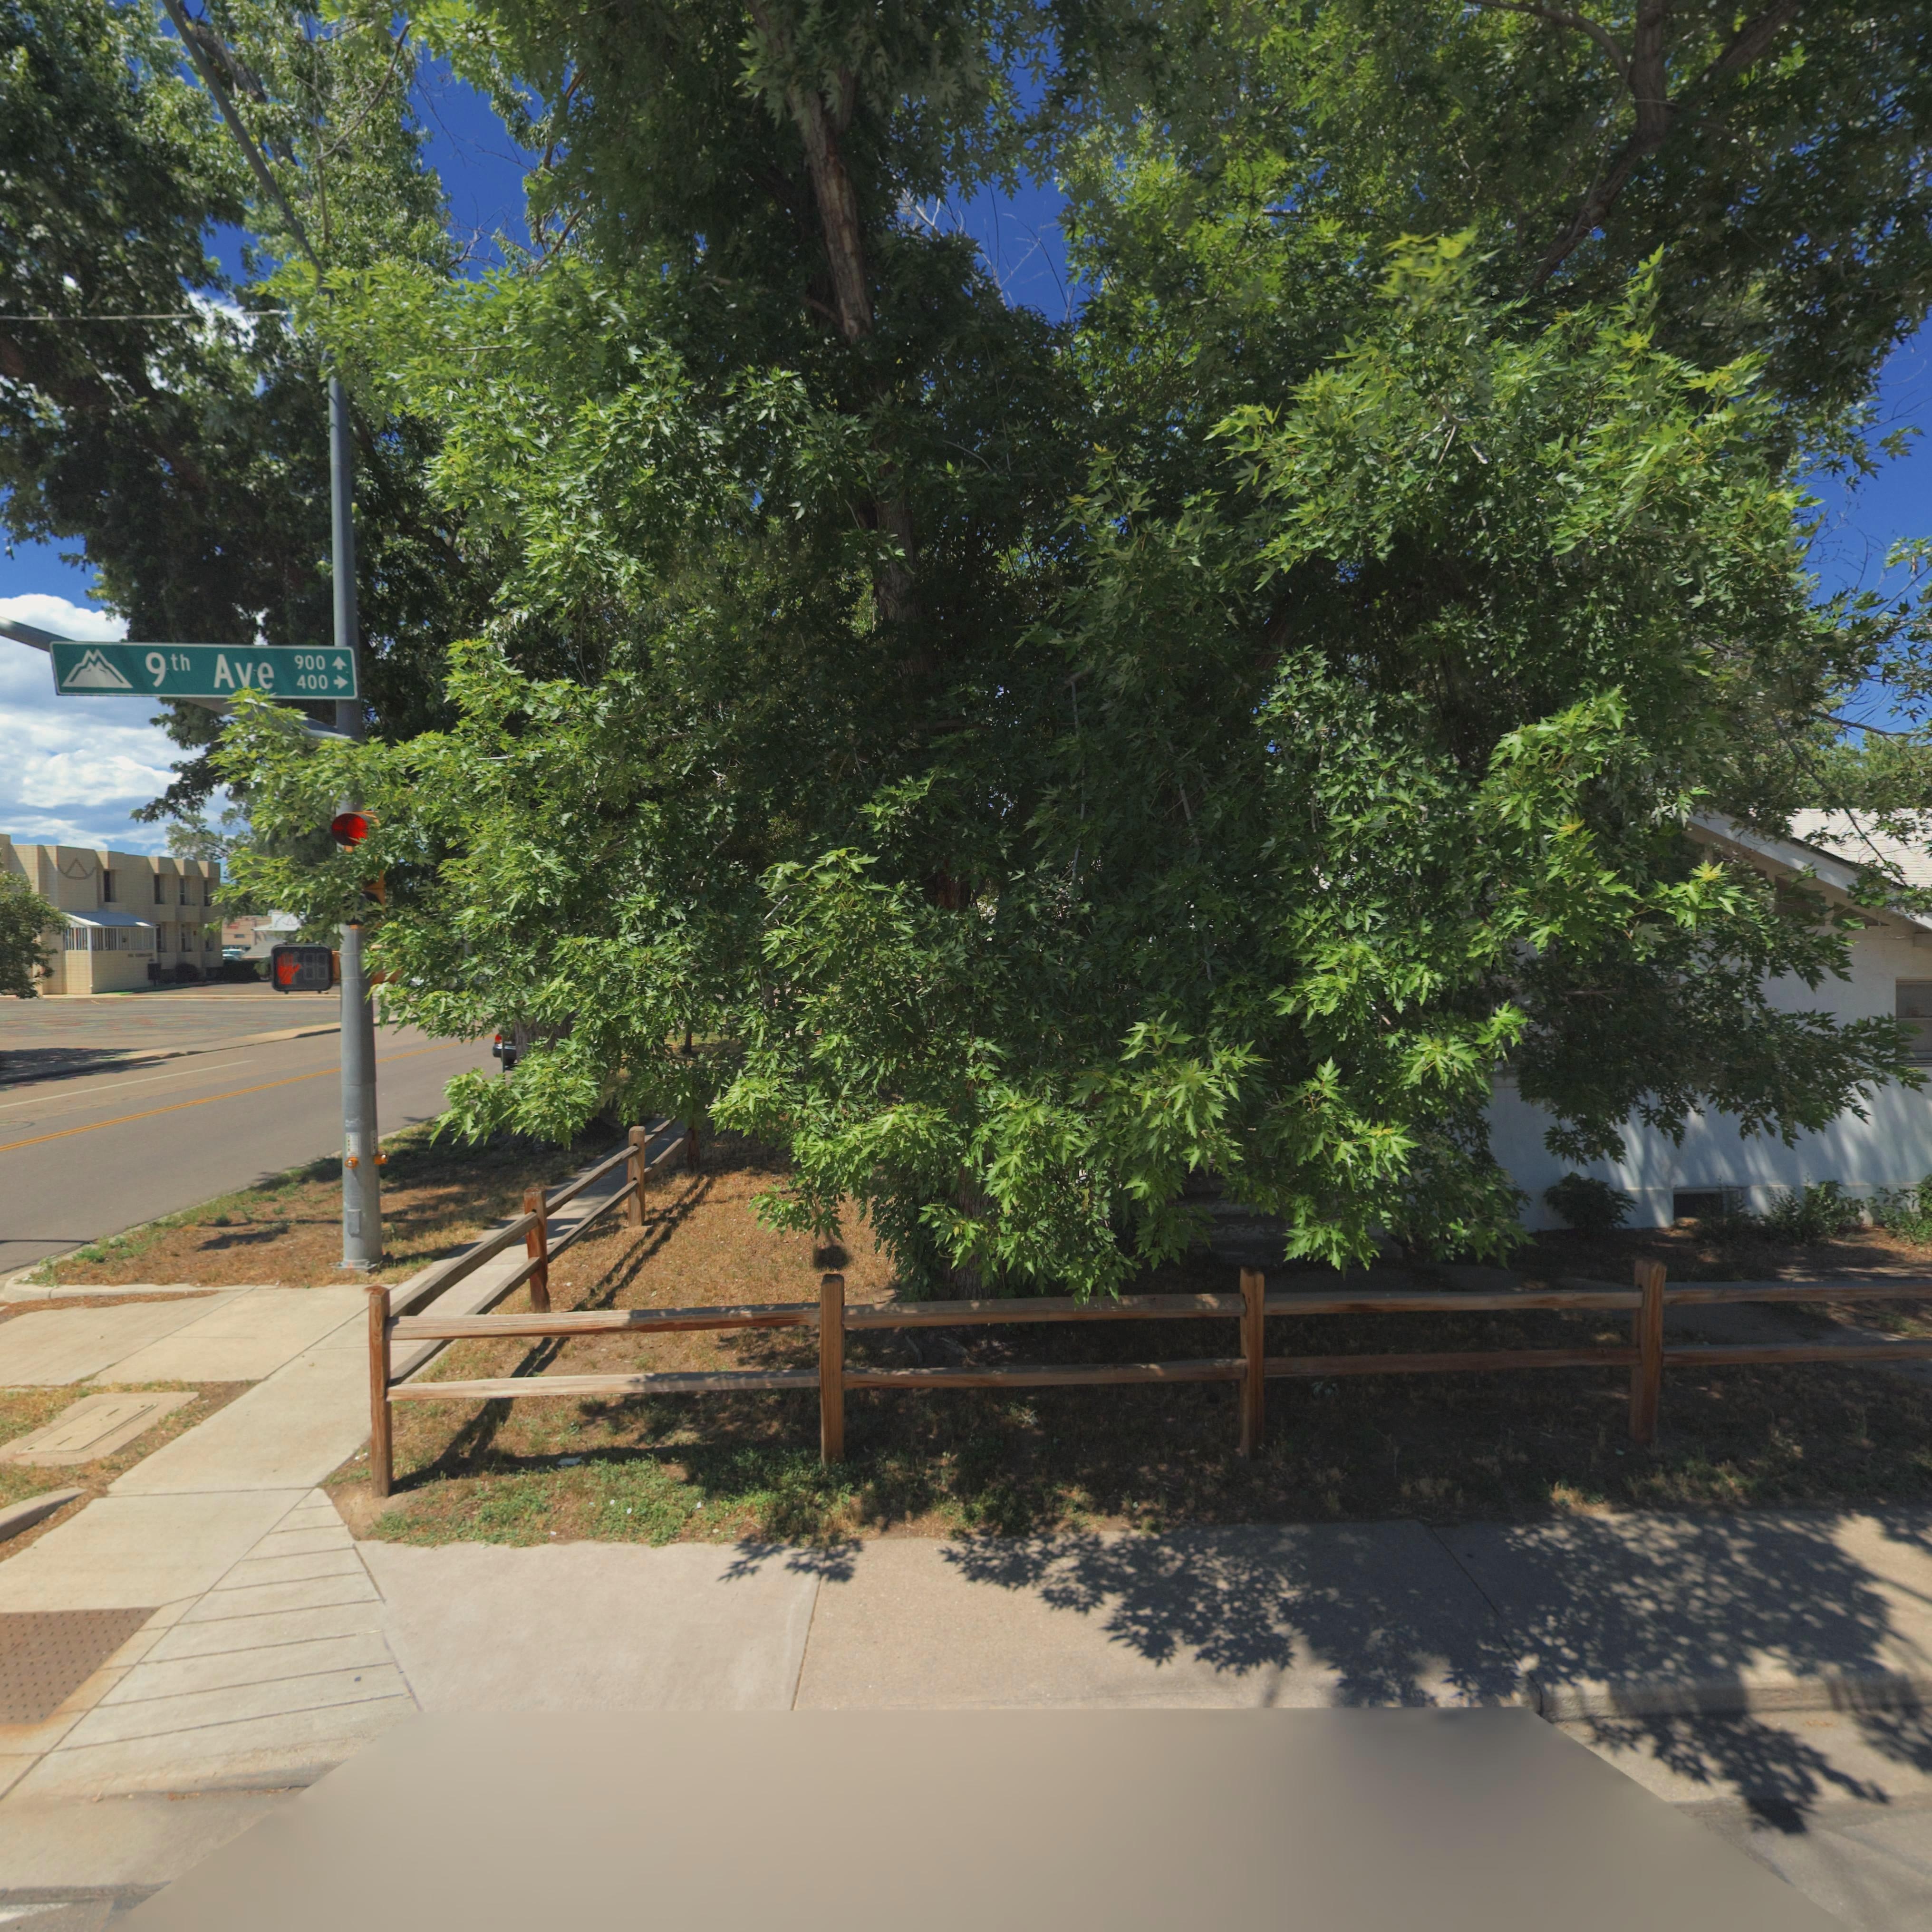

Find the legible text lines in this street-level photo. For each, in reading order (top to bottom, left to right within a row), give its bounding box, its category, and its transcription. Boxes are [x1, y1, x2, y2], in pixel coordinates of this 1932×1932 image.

[143, 651, 275, 690] StreetName: 9th Ave
[292, 654, 327, 671] StreetNumberRange: 900
[295, 673, 351, 691] StreetNumberRange: 400->